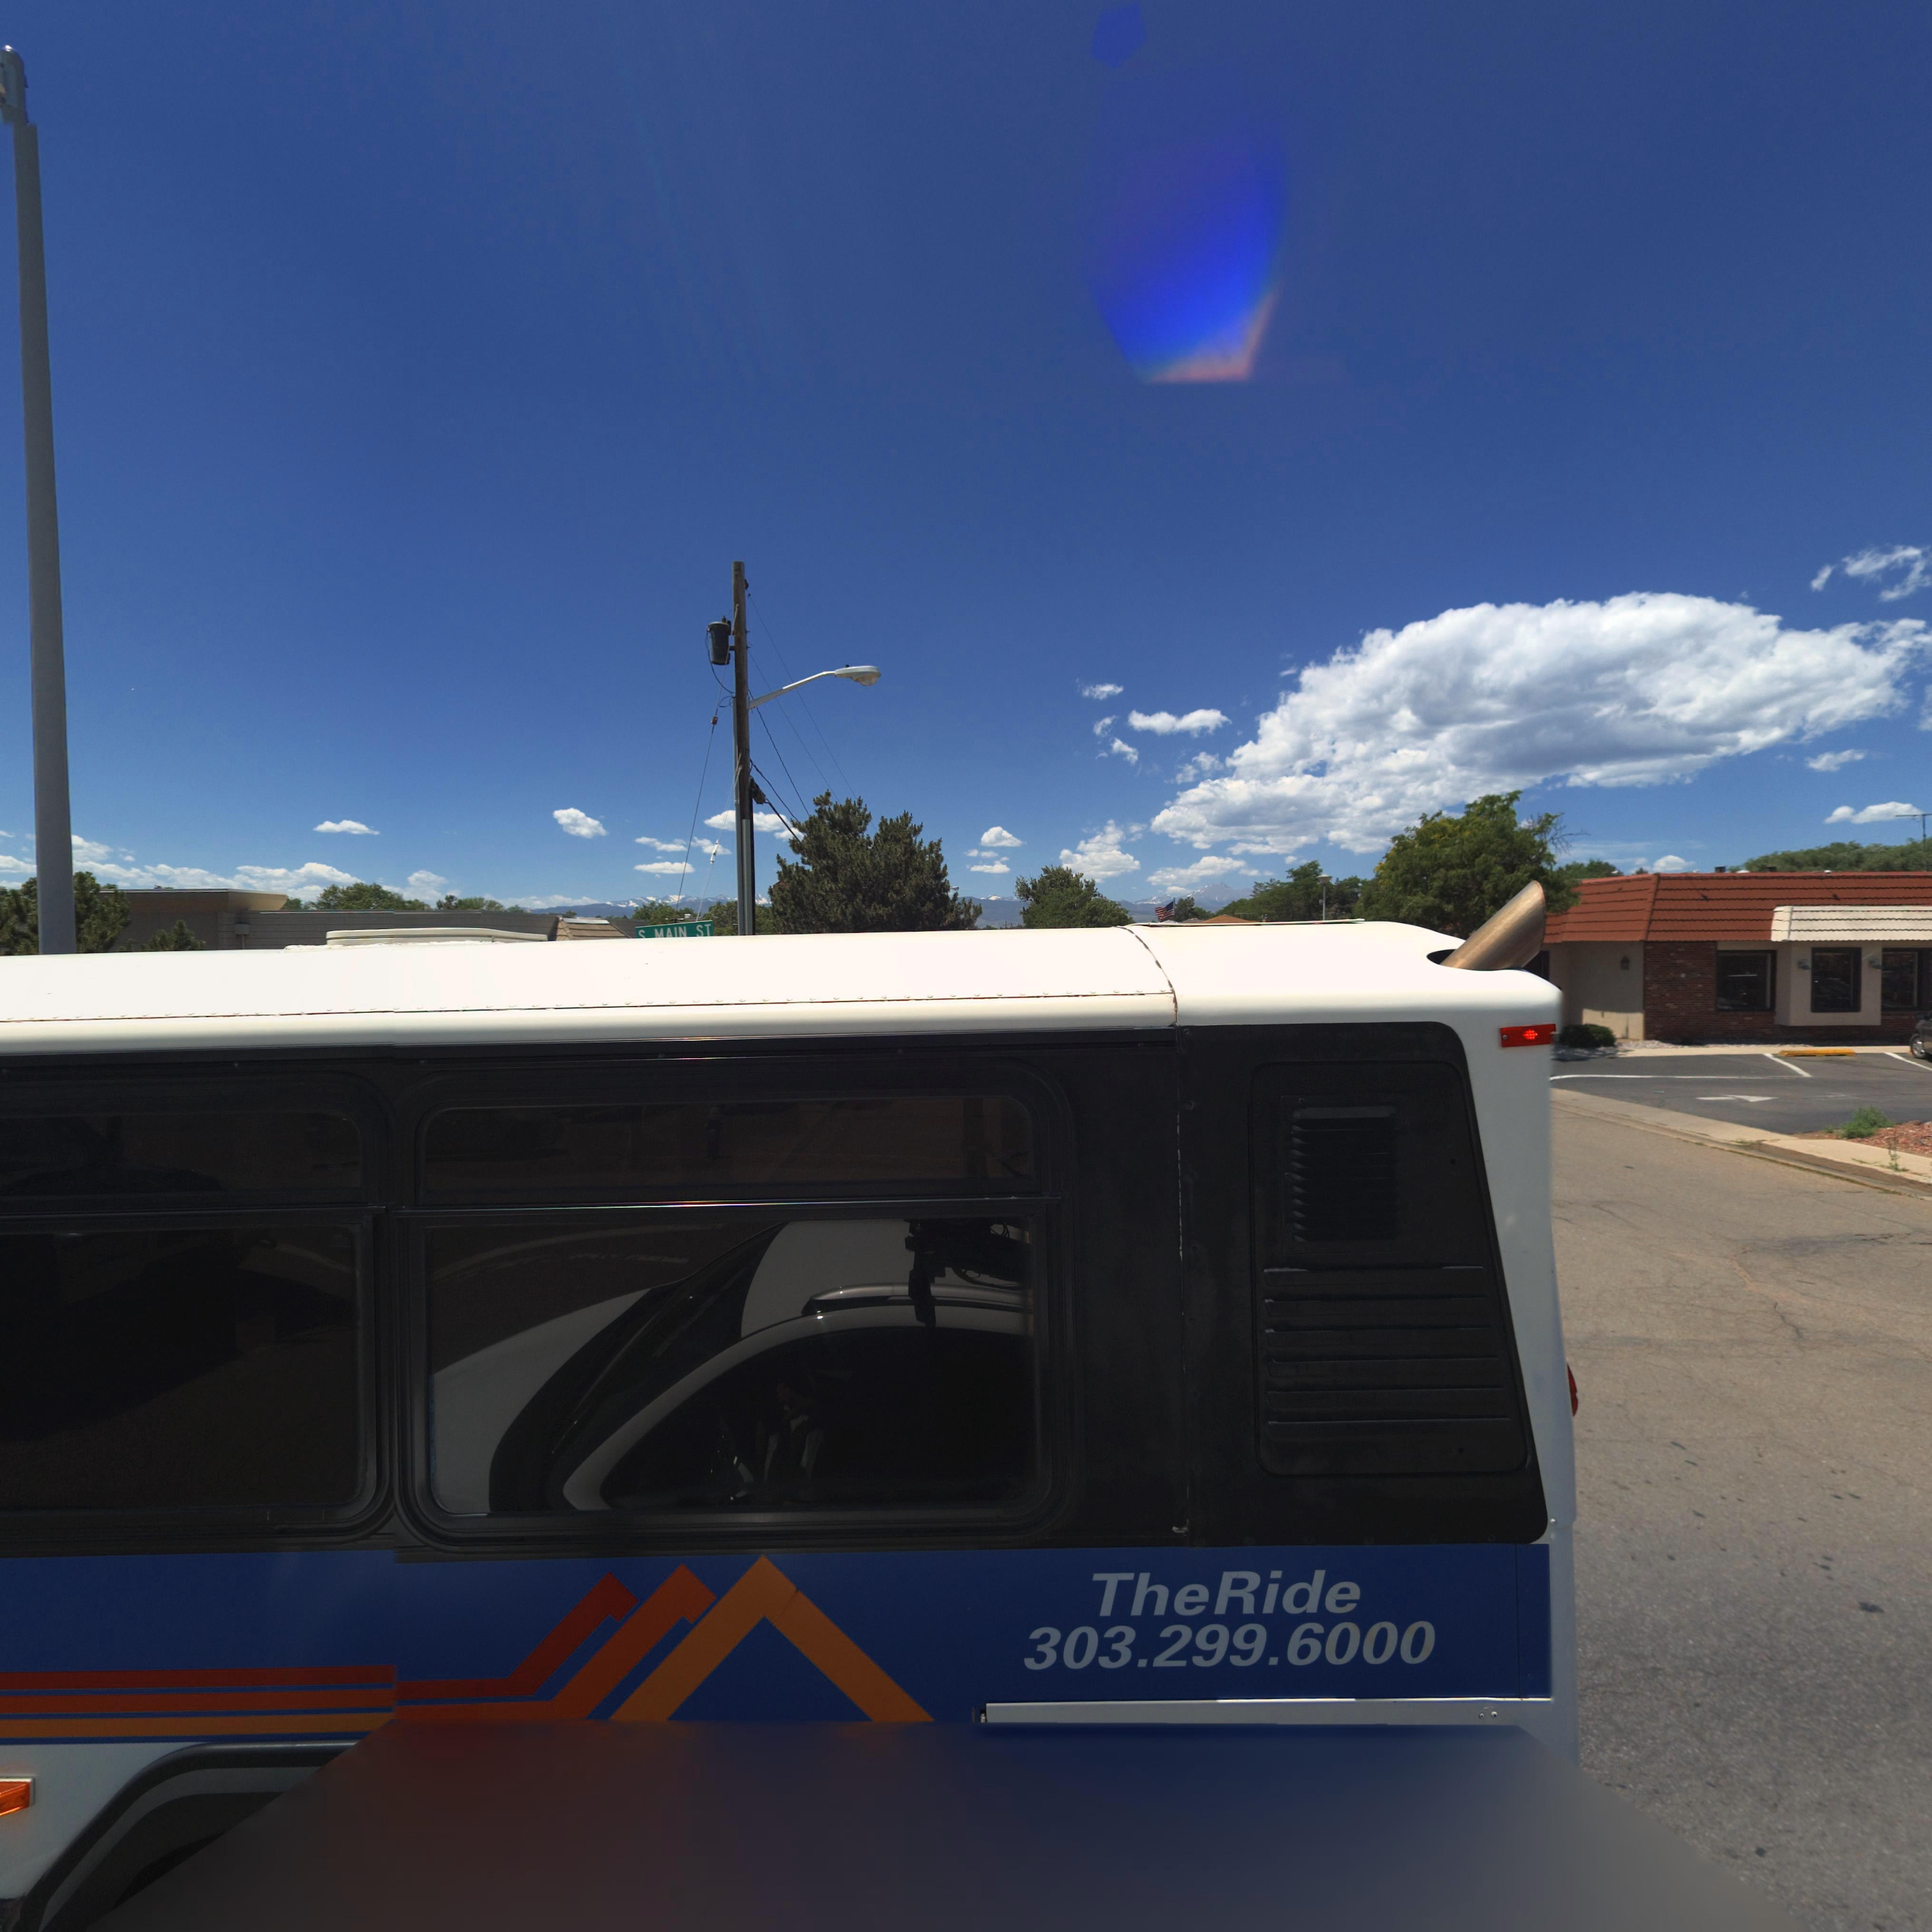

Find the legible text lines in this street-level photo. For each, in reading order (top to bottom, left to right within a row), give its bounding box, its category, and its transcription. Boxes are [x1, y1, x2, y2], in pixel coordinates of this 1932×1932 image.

[638, 923, 711, 938] StreetName: * MAIN ST